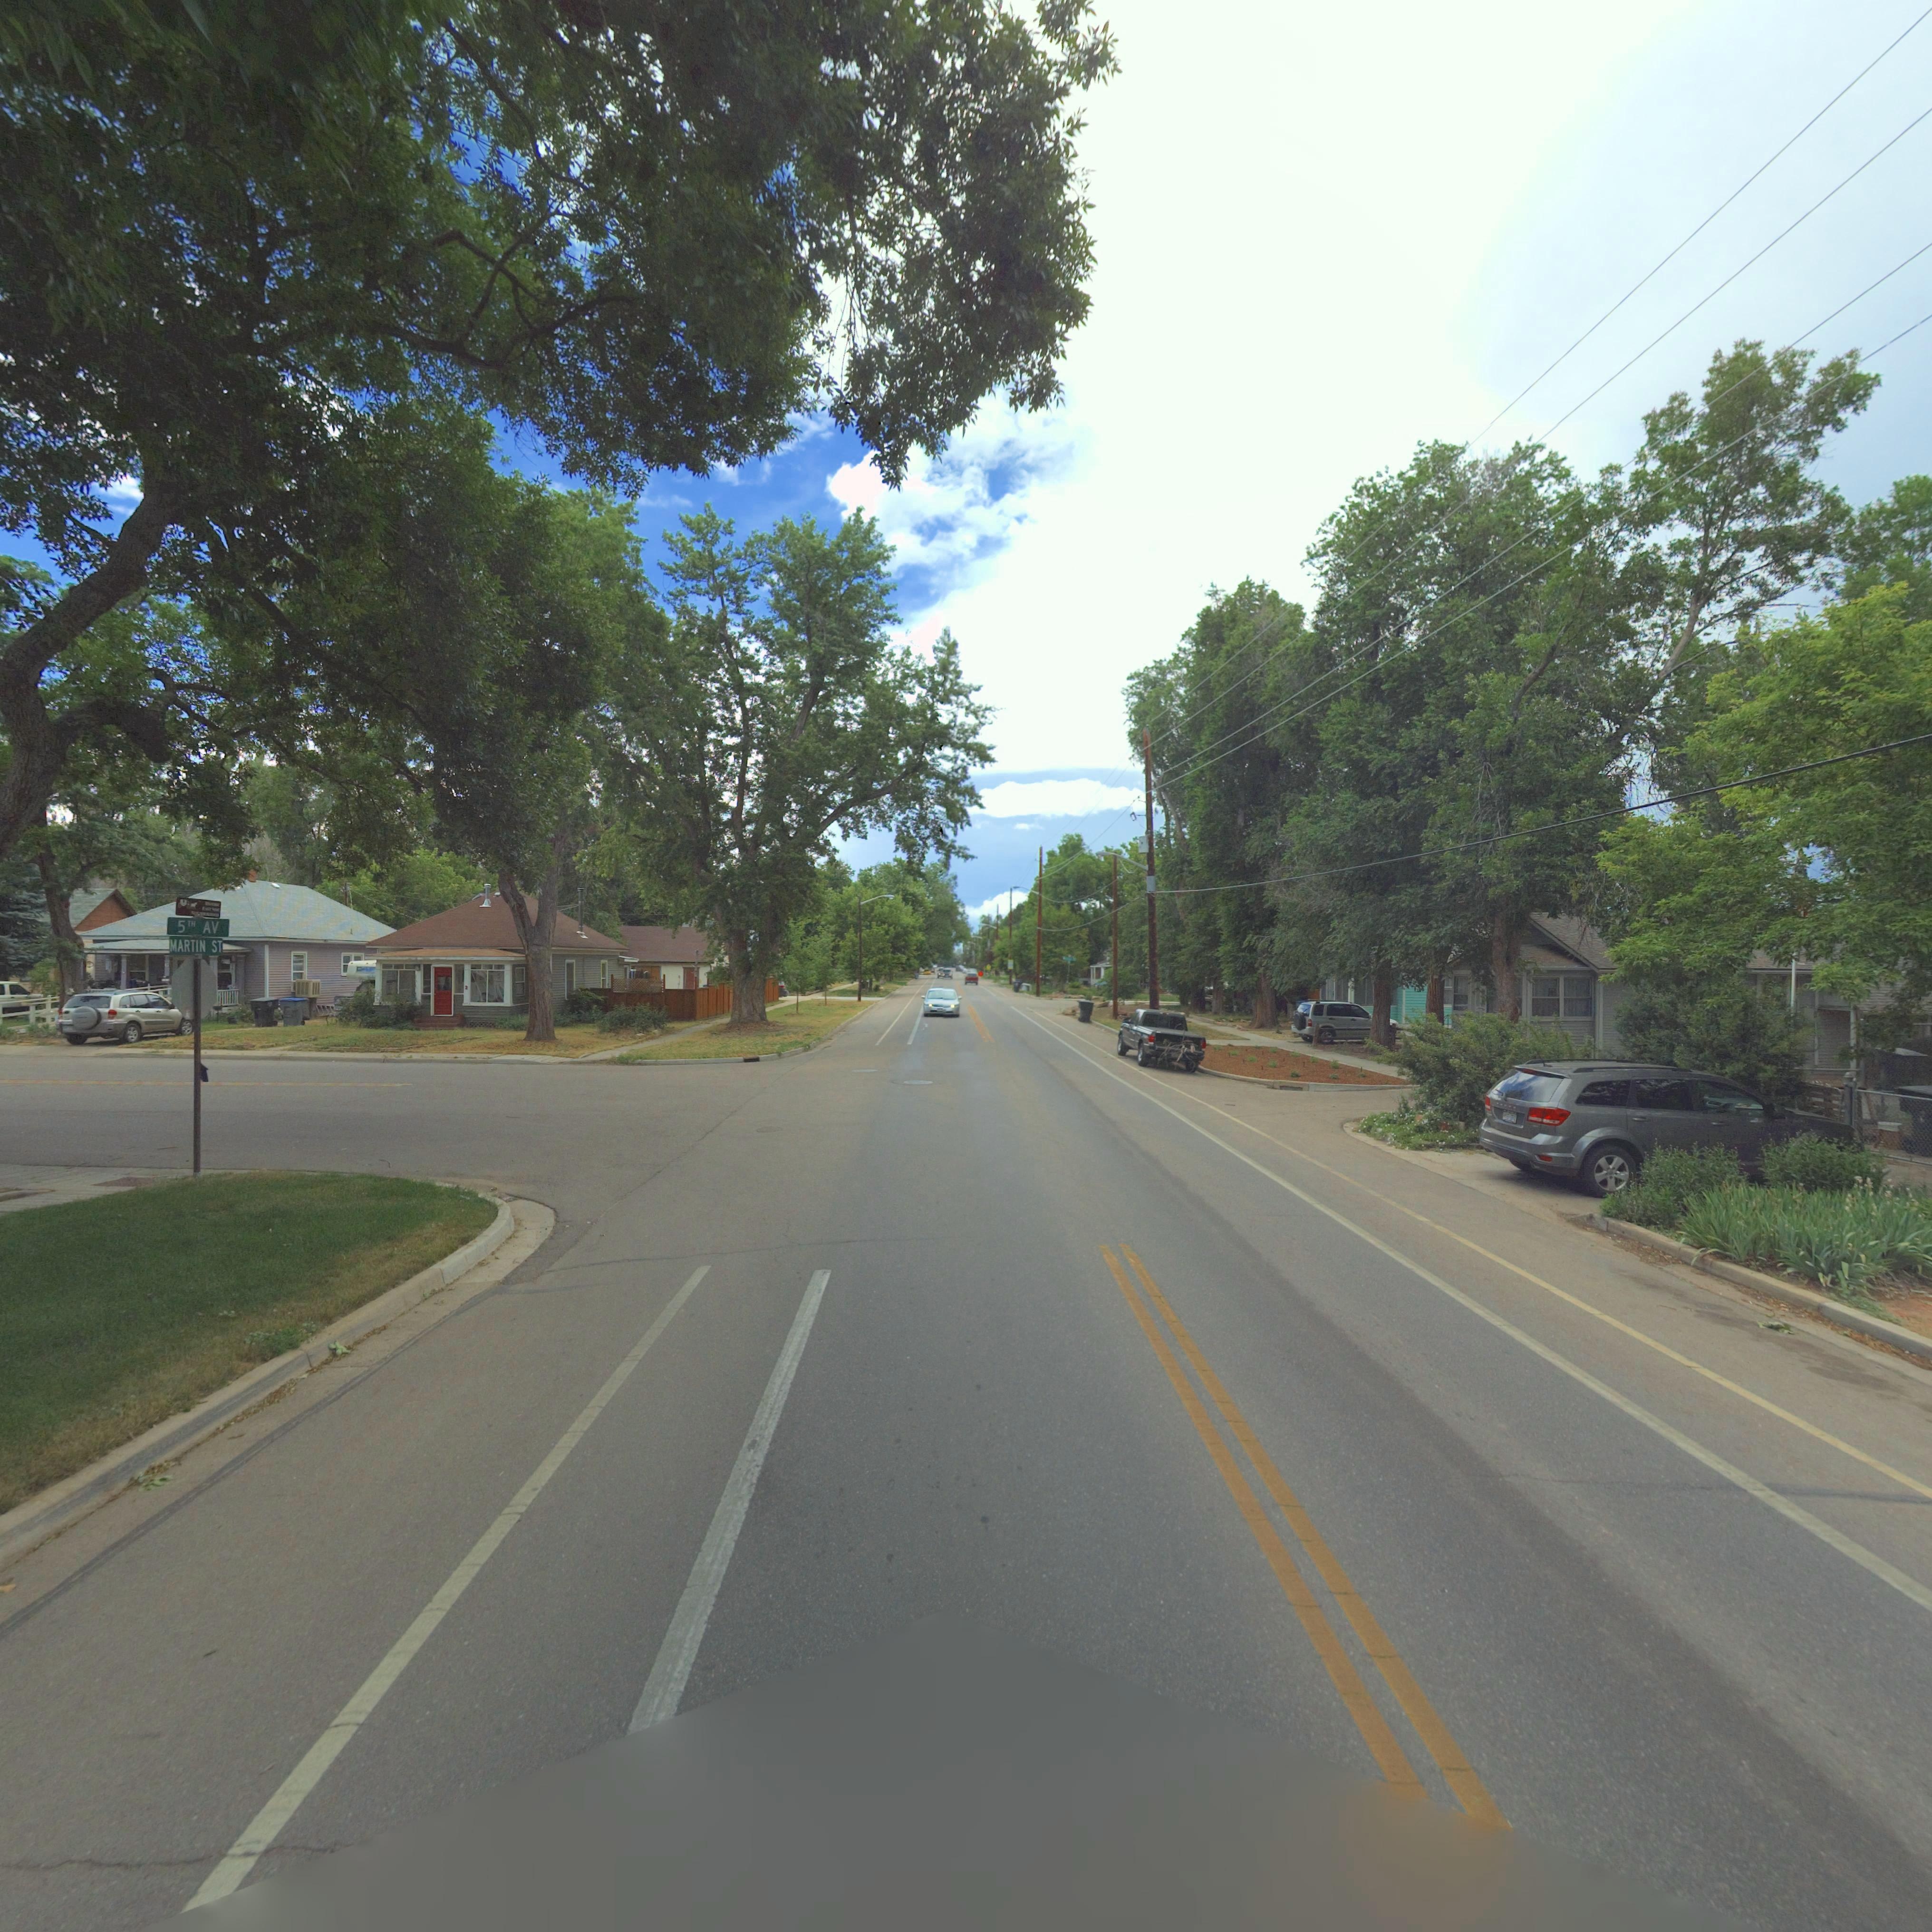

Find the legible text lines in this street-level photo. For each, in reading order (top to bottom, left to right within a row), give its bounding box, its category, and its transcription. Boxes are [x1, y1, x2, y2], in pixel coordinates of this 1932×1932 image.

[177, 920, 219, 934] StreetName: 5TH AV
[169, 939, 223, 952] StreetName: MARTIN ST